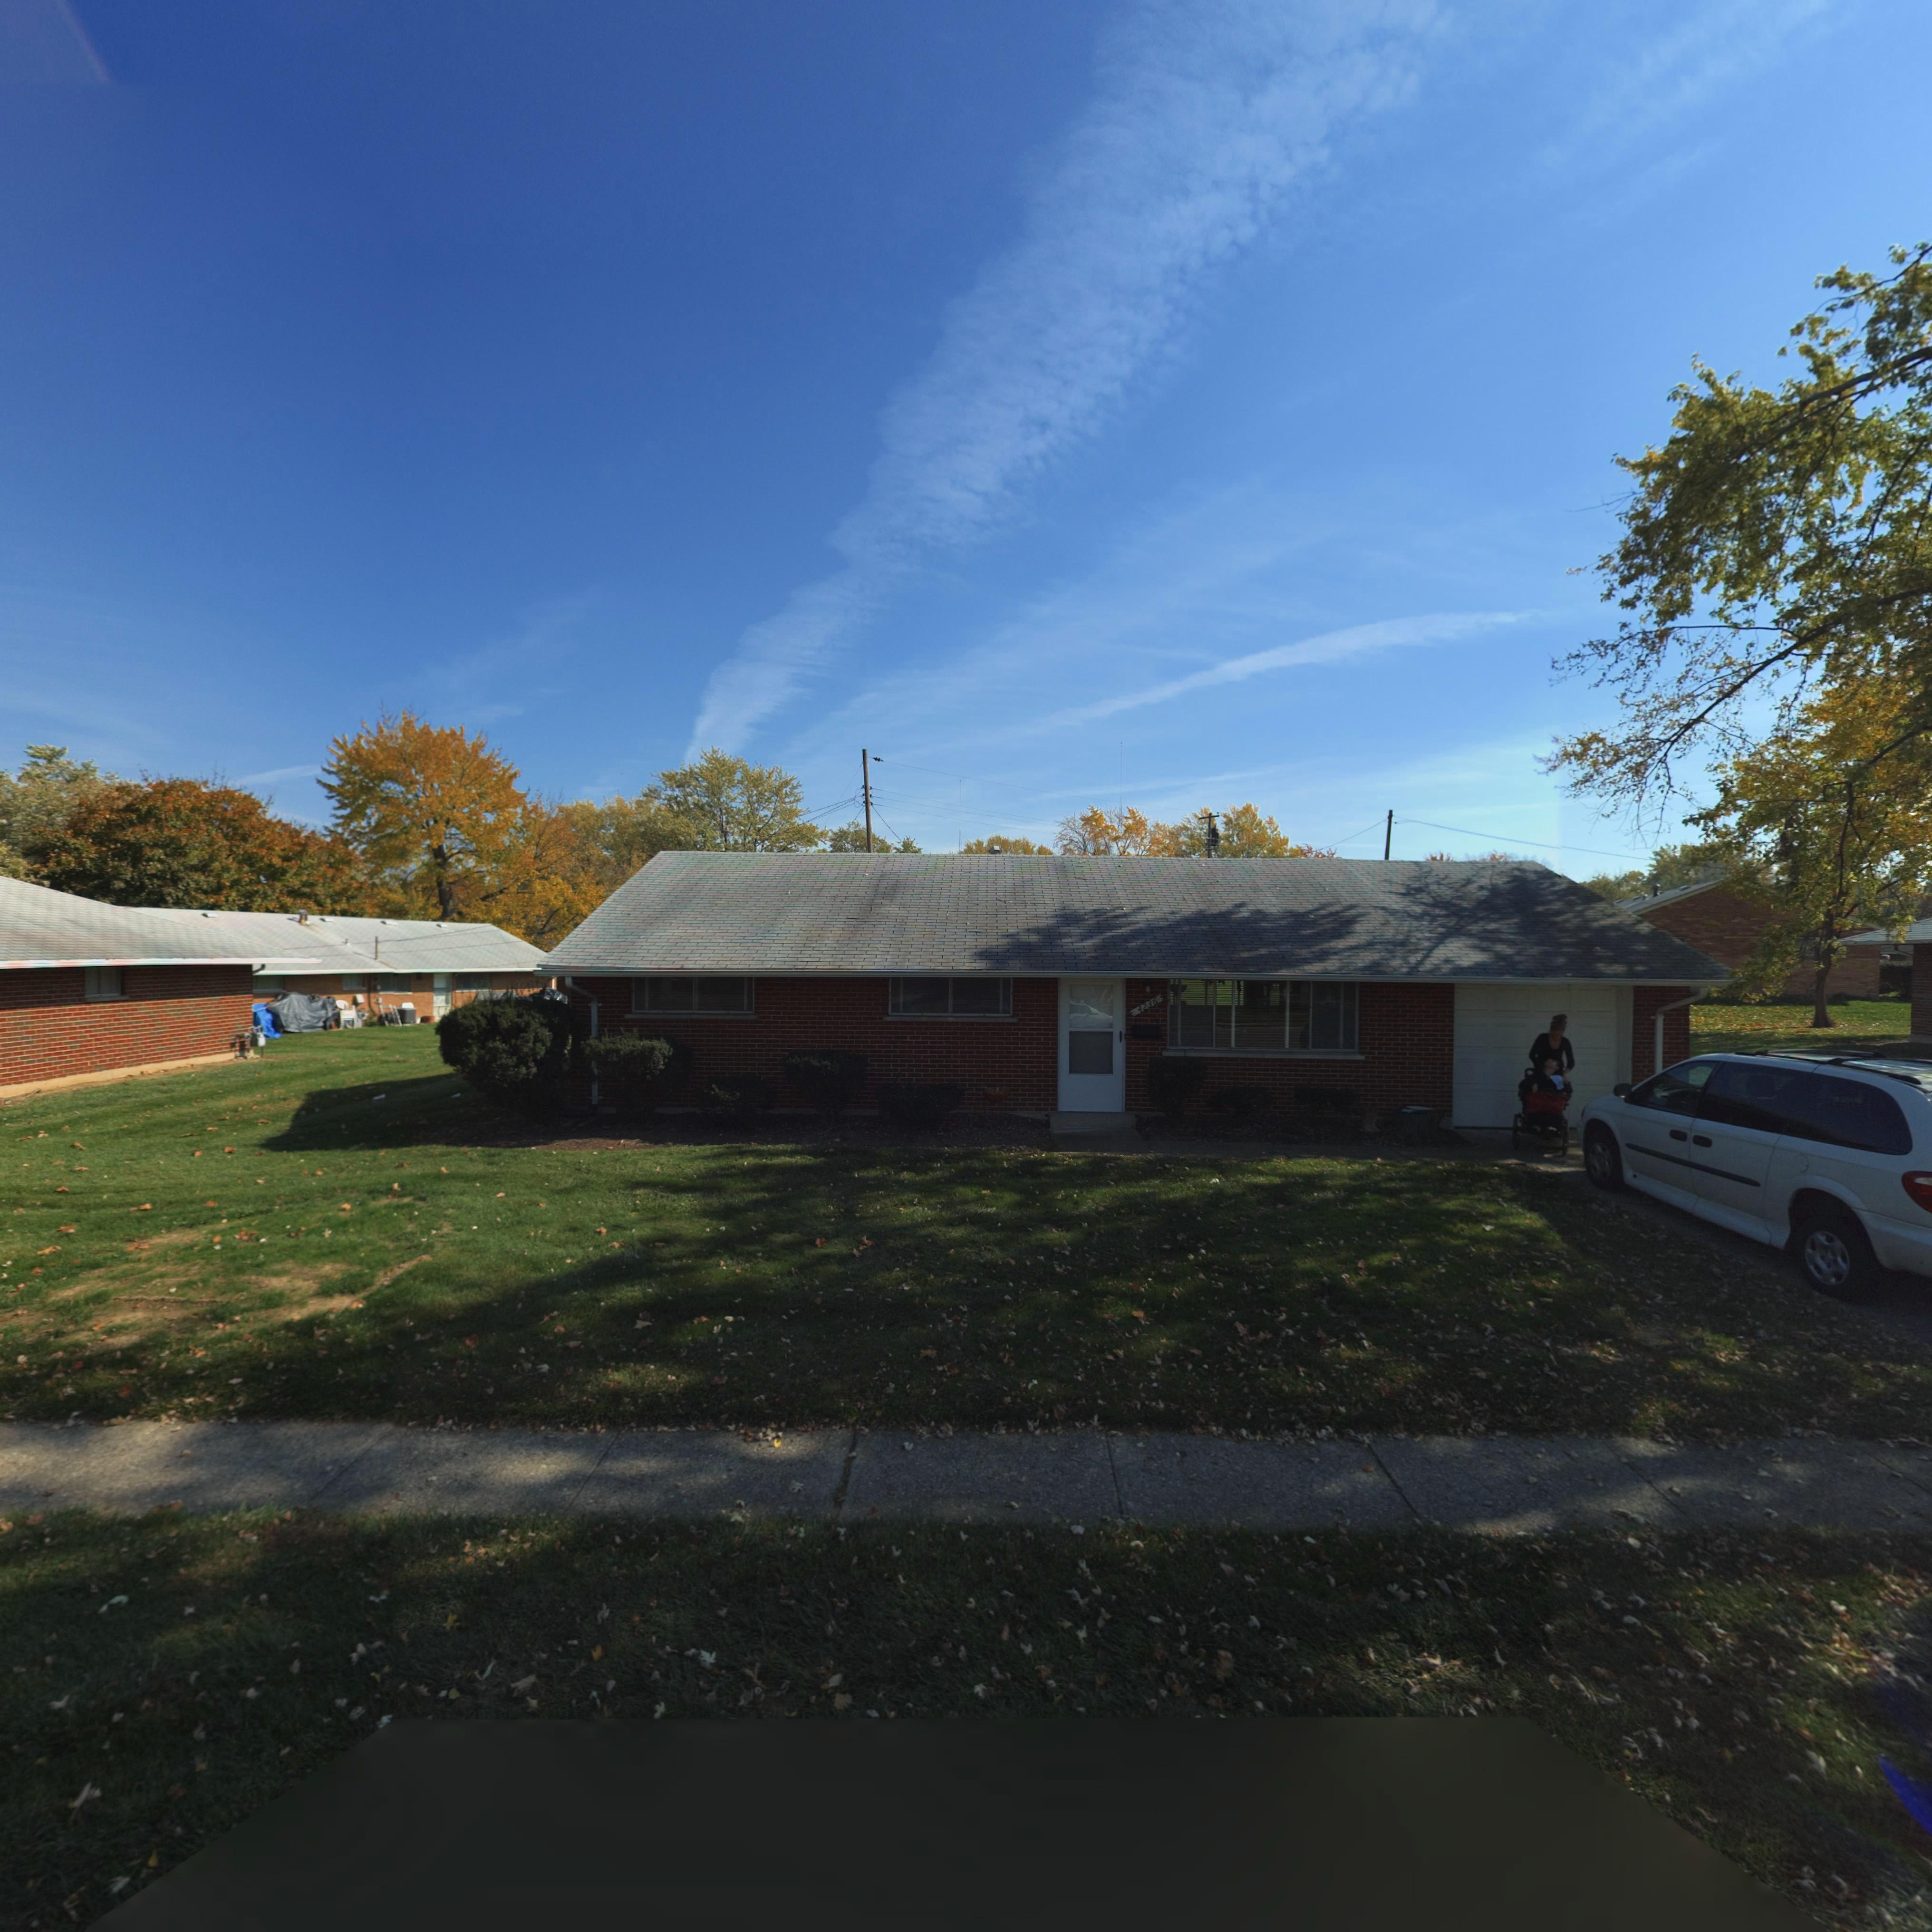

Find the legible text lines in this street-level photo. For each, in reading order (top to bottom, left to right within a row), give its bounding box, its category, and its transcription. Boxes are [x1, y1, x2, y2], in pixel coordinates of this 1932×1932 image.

[1138, 995, 1158, 1014] StreetNumber: 4236